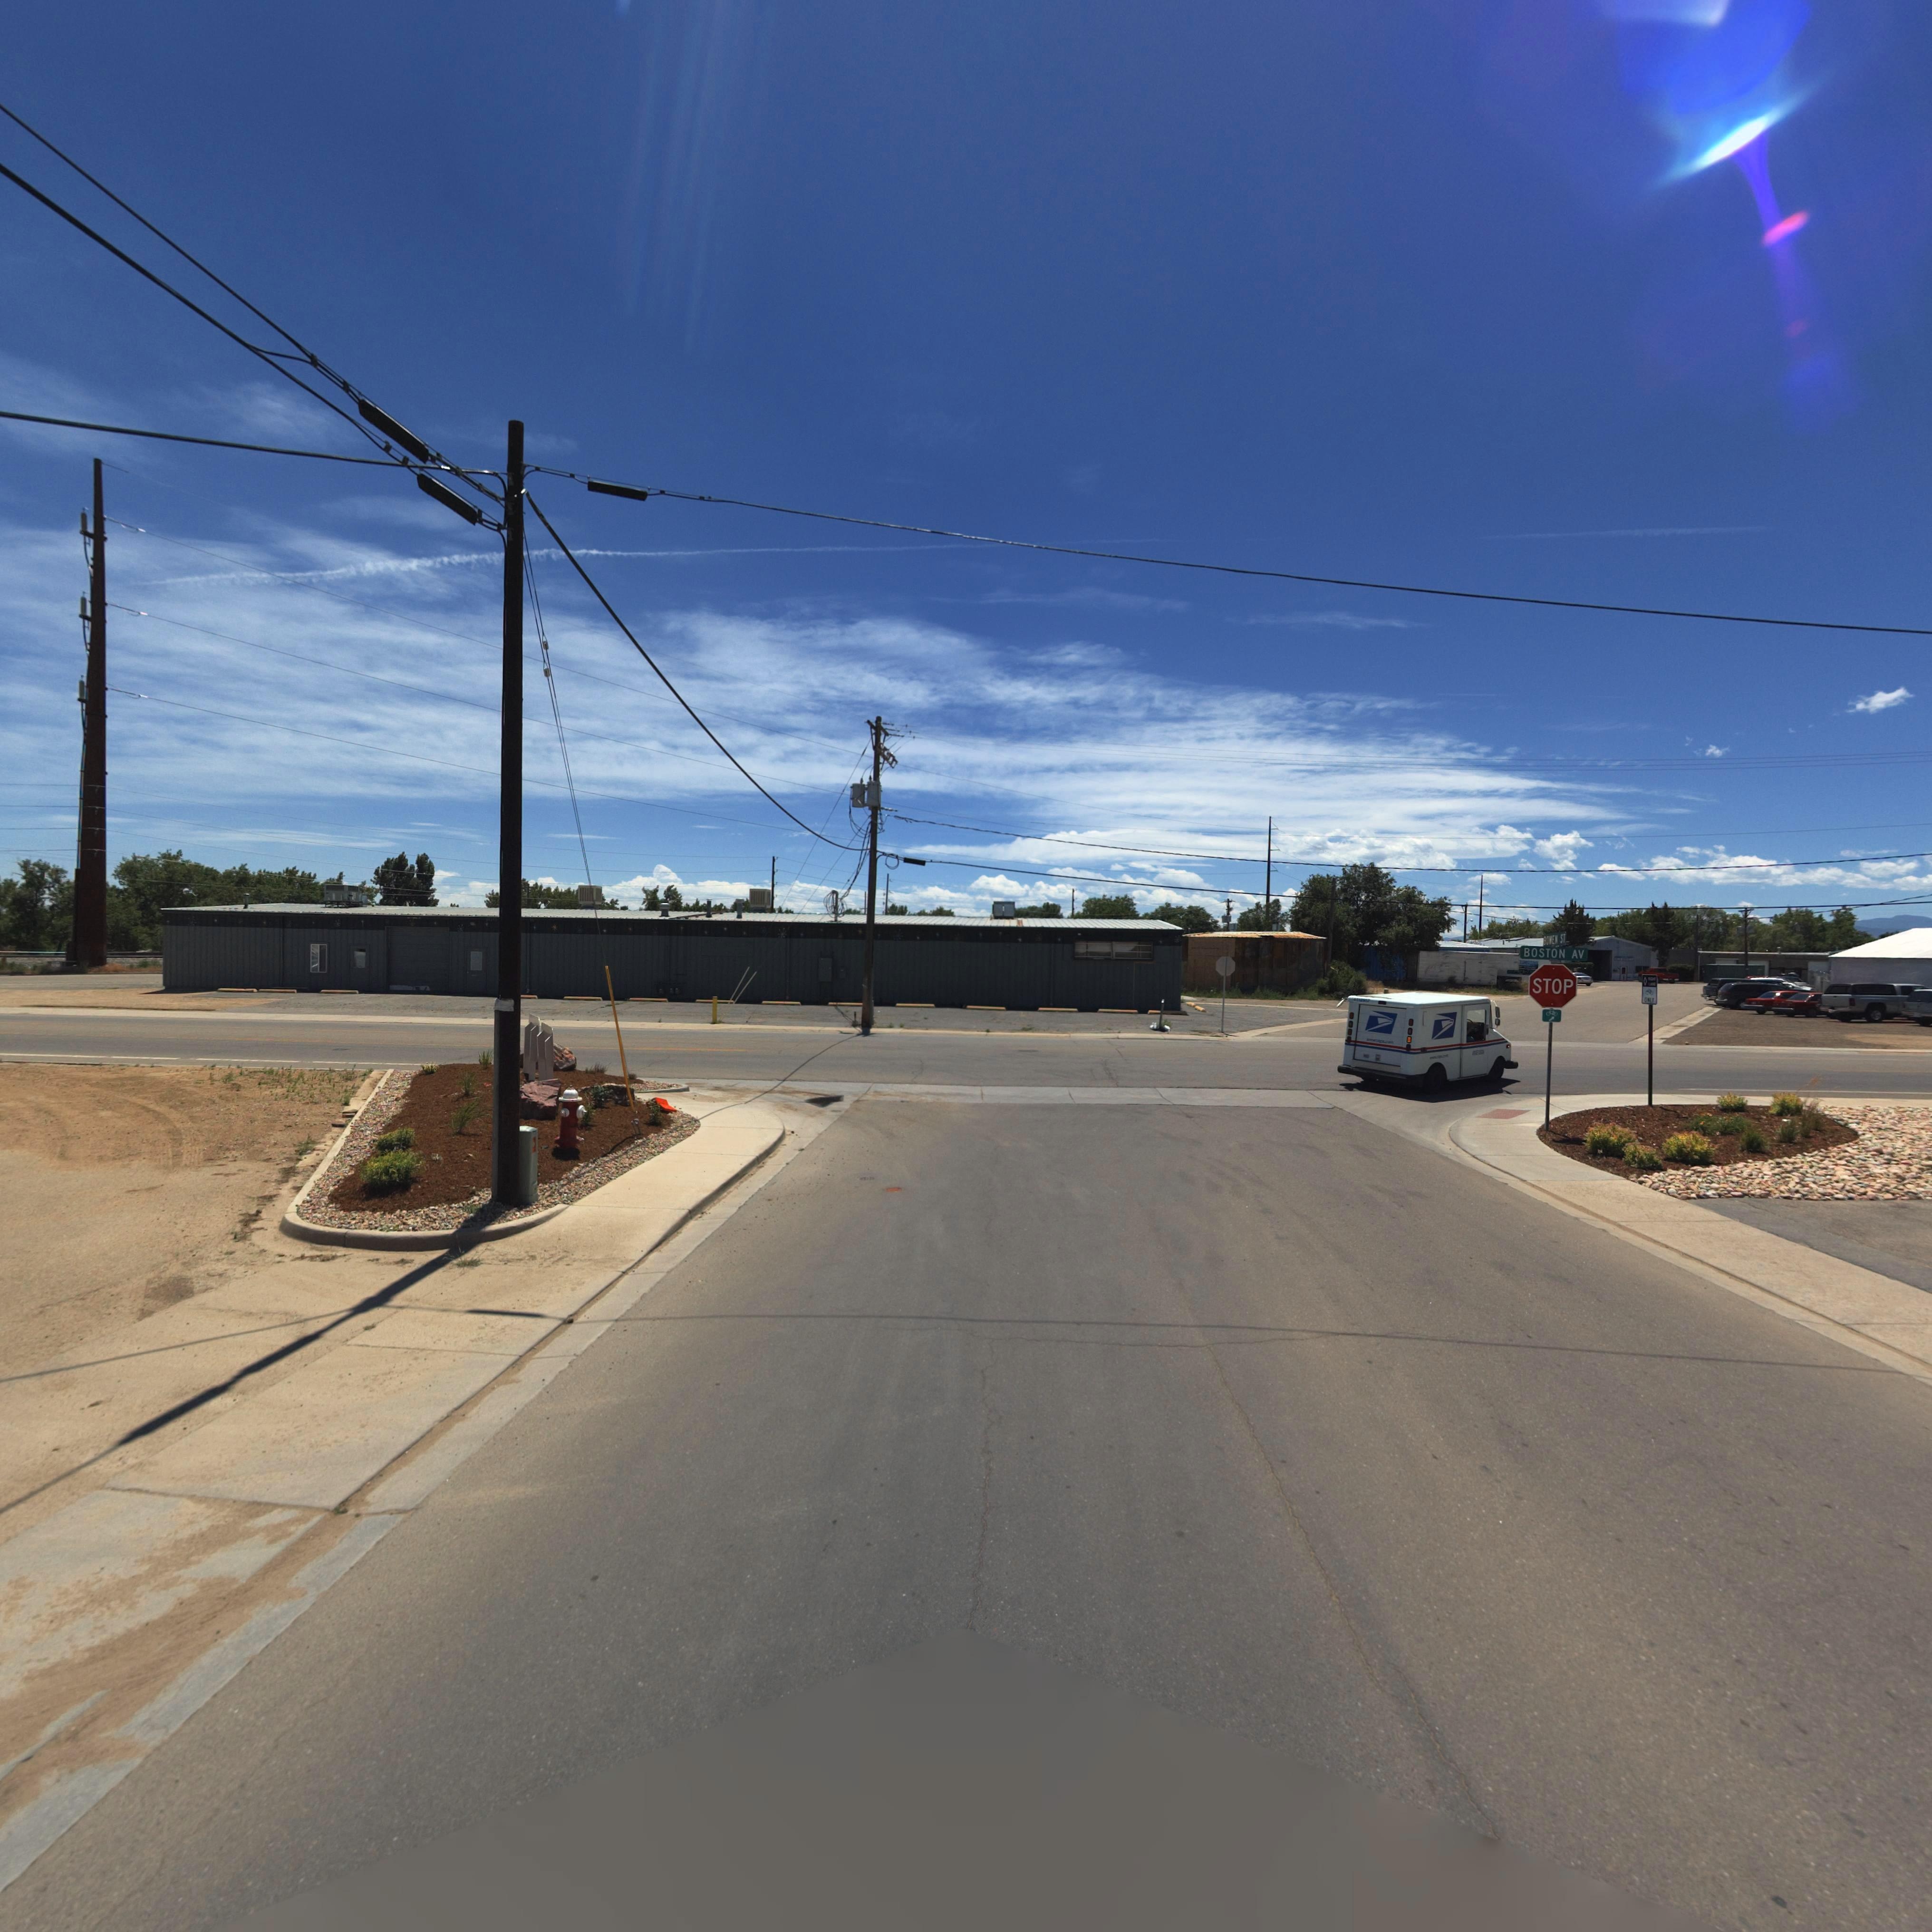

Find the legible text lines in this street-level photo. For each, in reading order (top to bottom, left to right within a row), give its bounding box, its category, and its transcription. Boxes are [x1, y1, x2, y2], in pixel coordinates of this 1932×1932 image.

[1543, 933, 1566, 946] StreetName: BOWEN ST
[1523, 947, 1585, 959] StreetName: BOSTON AV